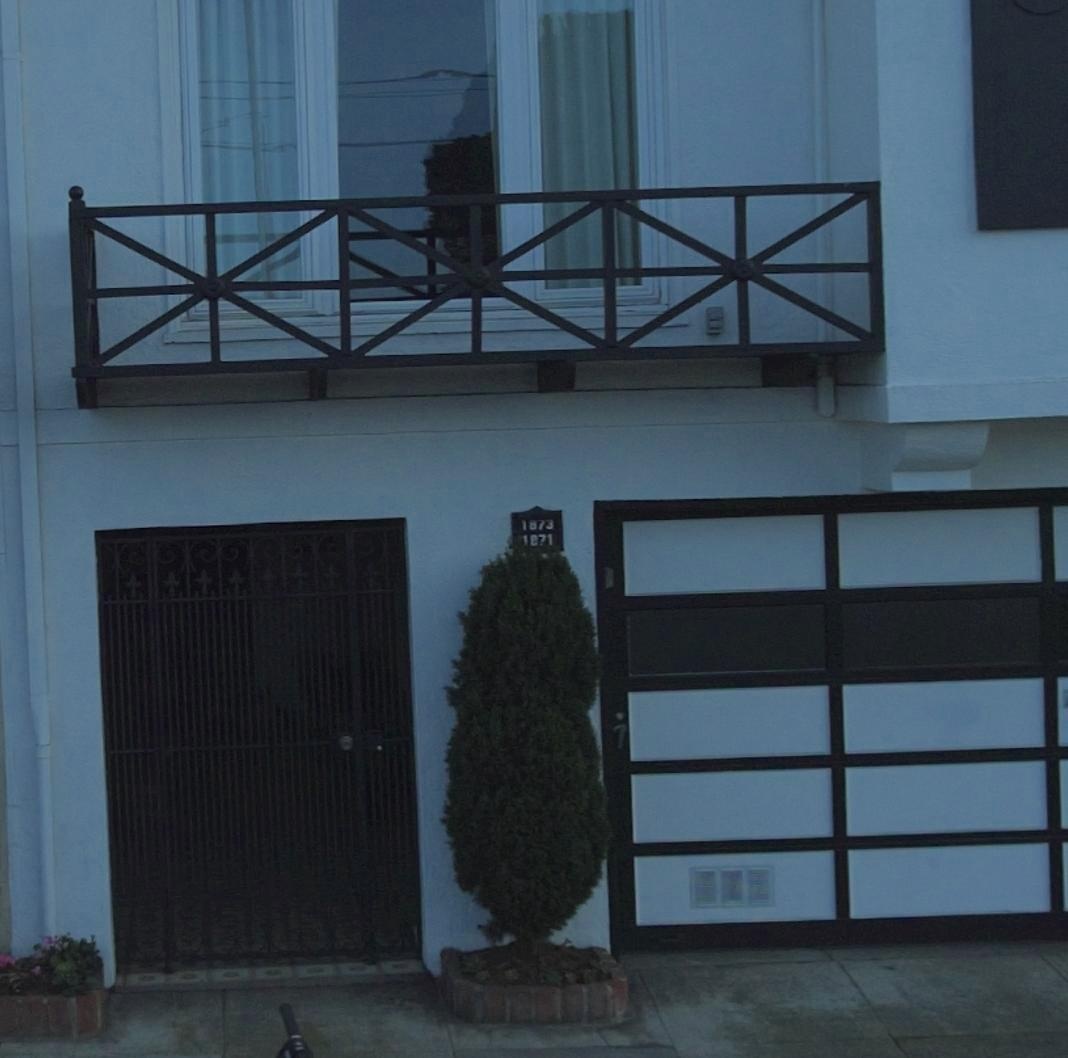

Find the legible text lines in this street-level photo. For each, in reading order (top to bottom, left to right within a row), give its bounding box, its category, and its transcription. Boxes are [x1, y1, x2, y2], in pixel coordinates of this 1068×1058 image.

[519, 517, 557, 533] StreetNumber: 1873
[519, 531, 556, 550] StreetNumber: 1871